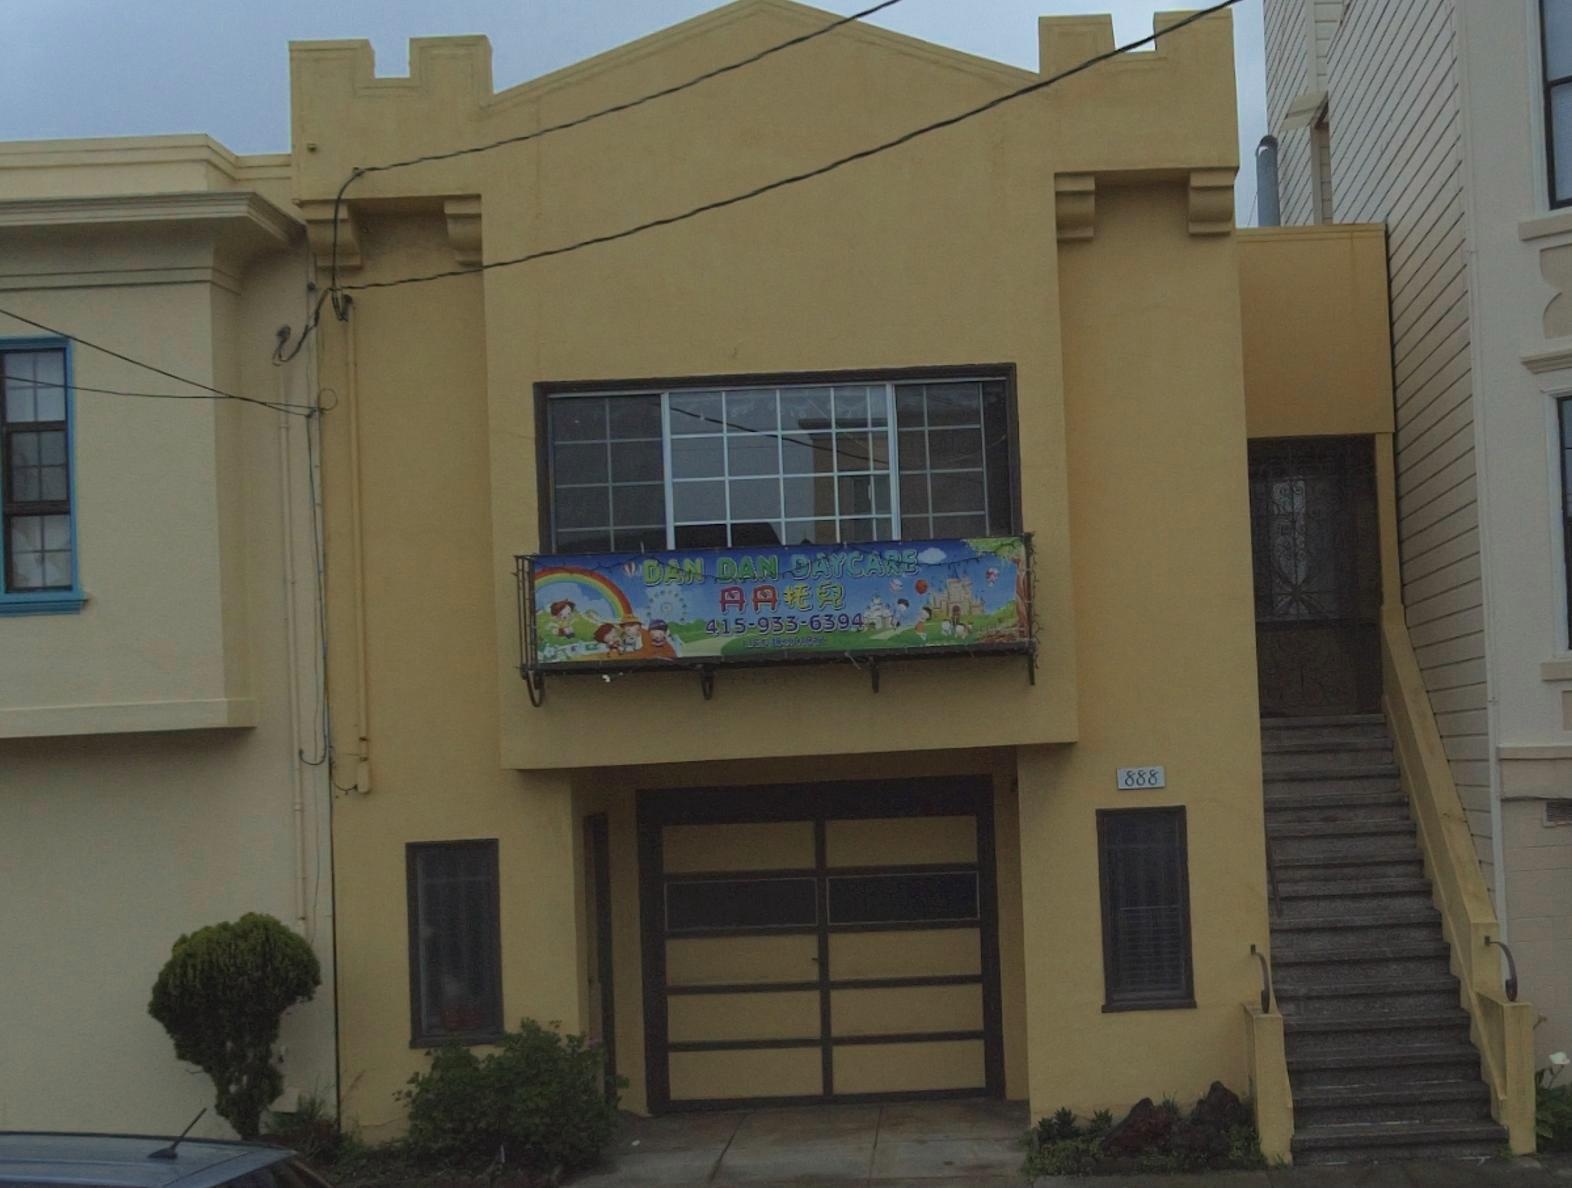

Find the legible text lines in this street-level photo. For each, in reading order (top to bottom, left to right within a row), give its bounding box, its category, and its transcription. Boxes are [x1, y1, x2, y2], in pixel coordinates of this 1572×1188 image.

[638, 545, 924, 589] BusinessName: DAN DAN DAYCARE
[712, 580, 851, 619] None: AAE*
[698, 610, 868, 639] None: 415-933-6394
[1119, 767, 1160, 789] StreetNumber: 888